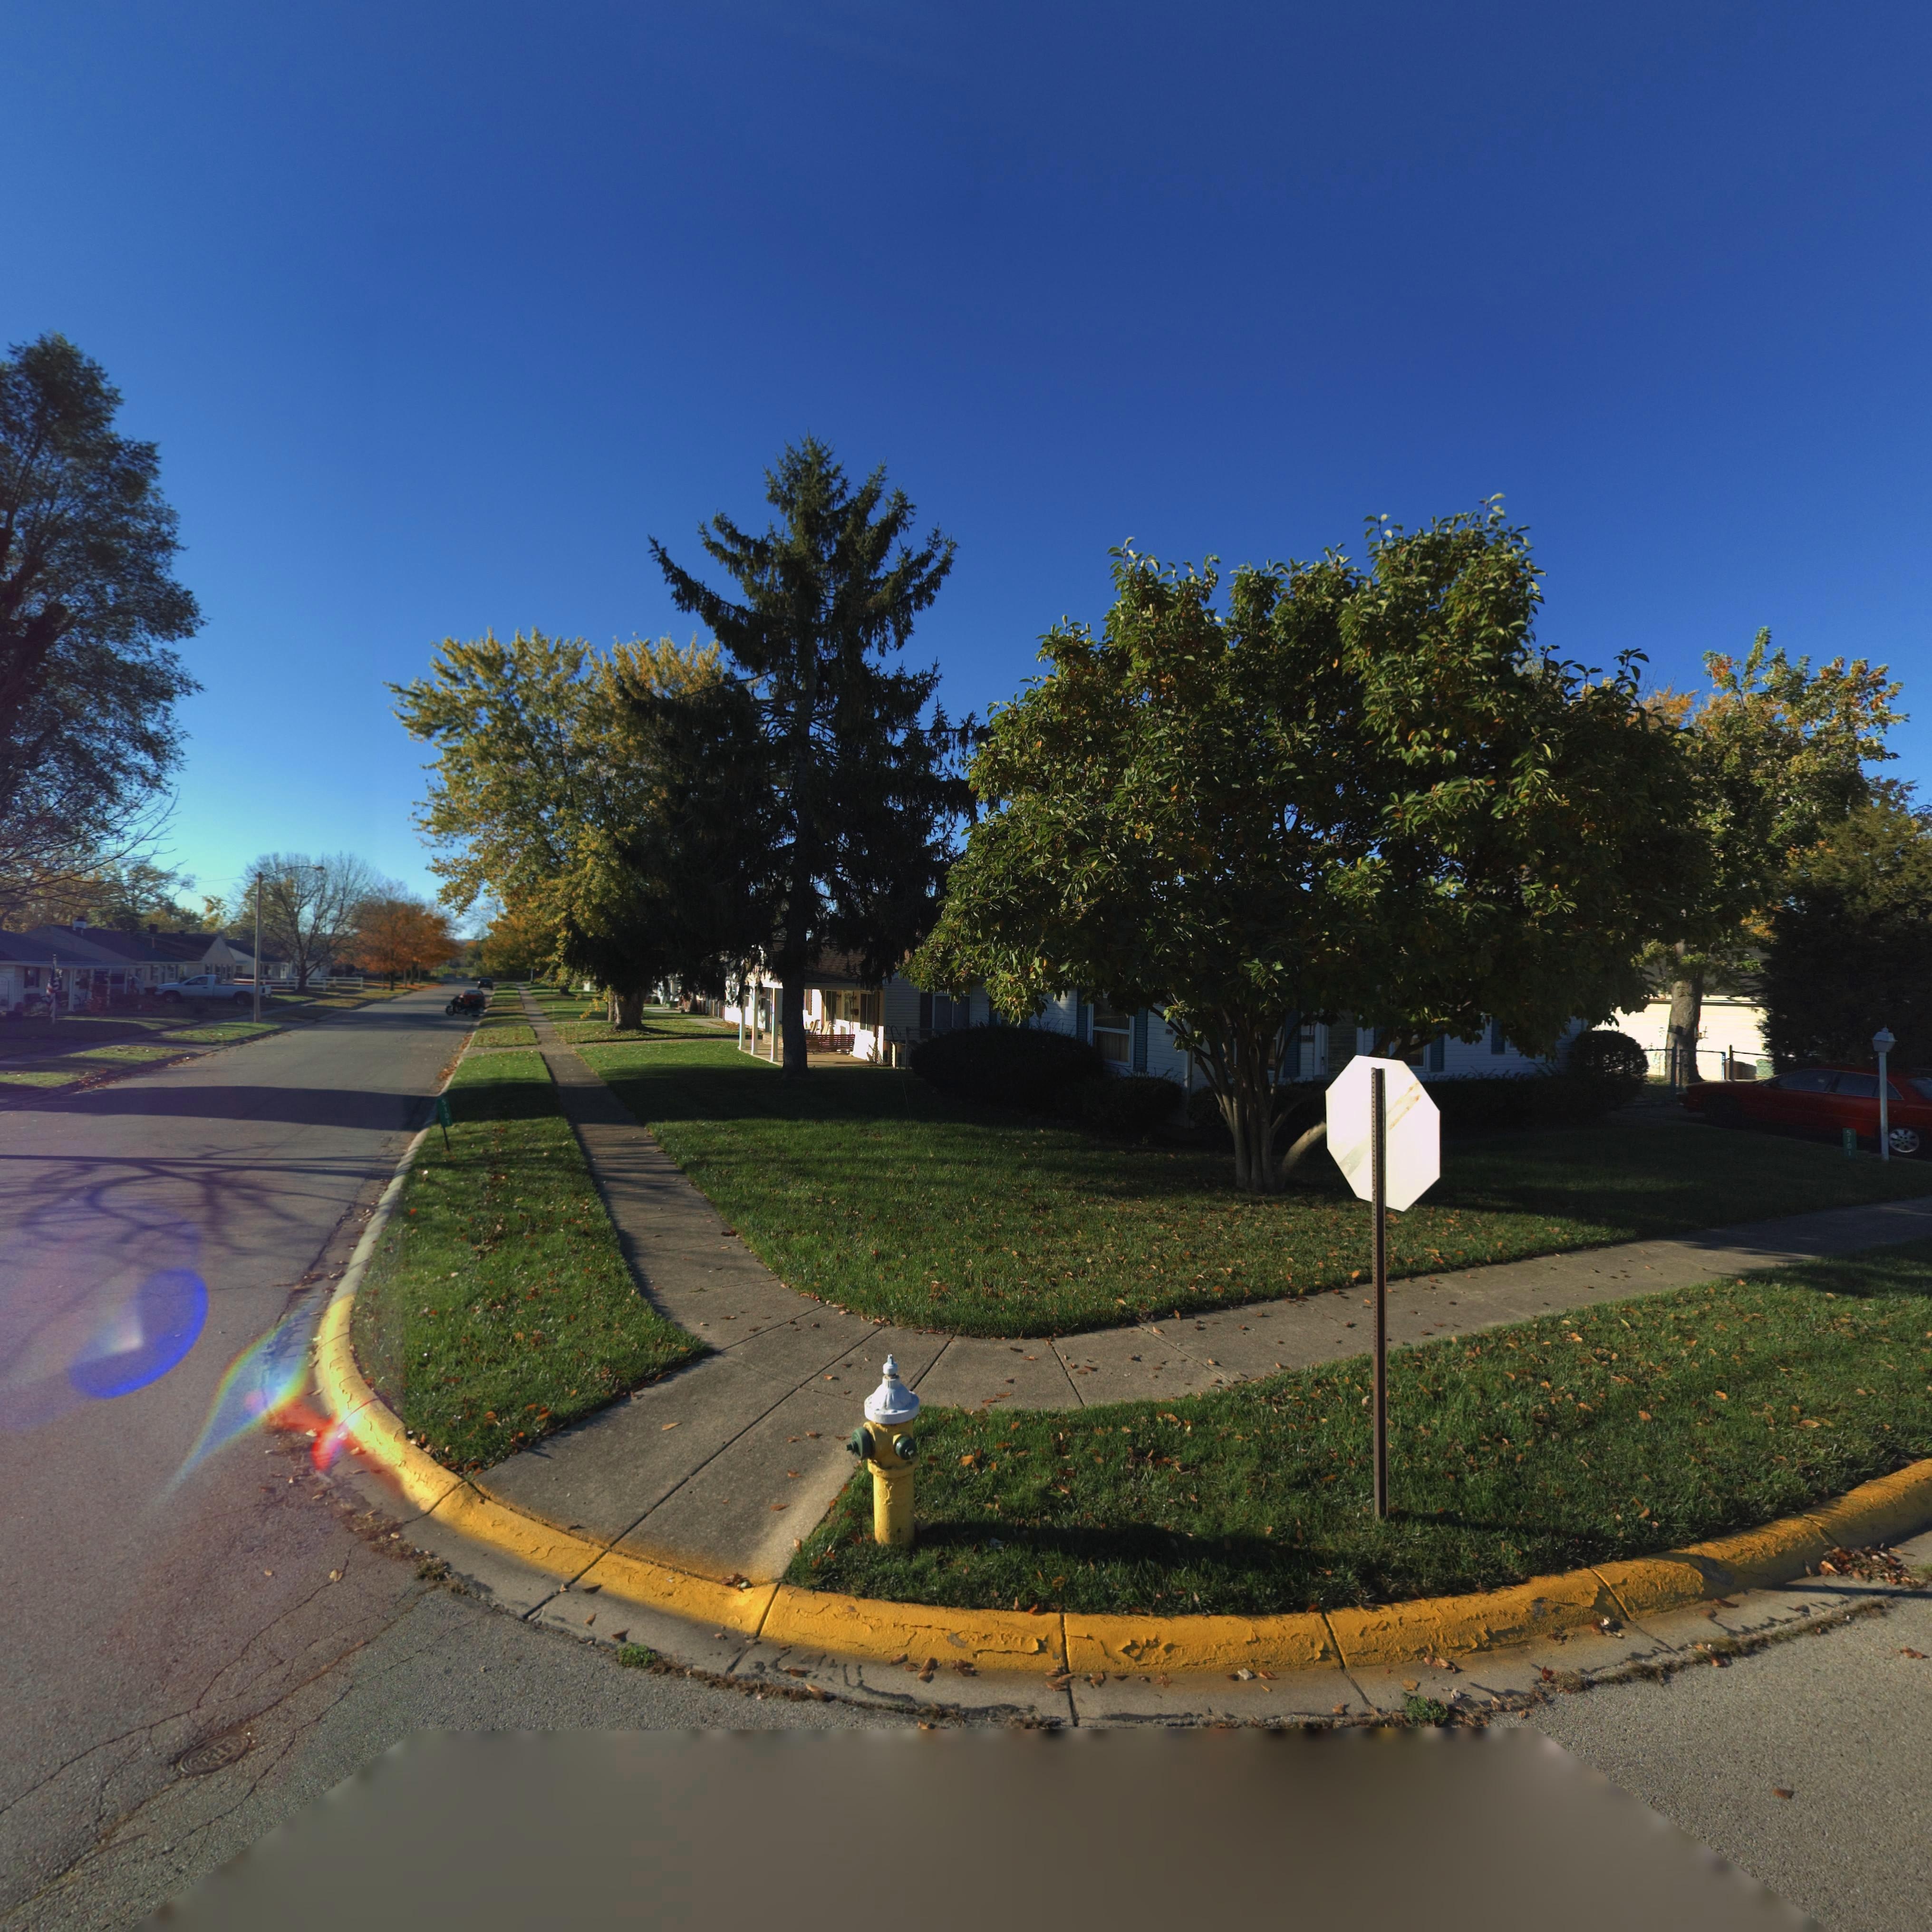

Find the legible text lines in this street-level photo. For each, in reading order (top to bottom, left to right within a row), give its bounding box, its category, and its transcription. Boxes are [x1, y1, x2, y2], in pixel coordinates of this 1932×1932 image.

[440, 1098, 452, 1126] StreetNumber: 5101
[1846, 1129, 1852, 1157] StreetNumber: 5101